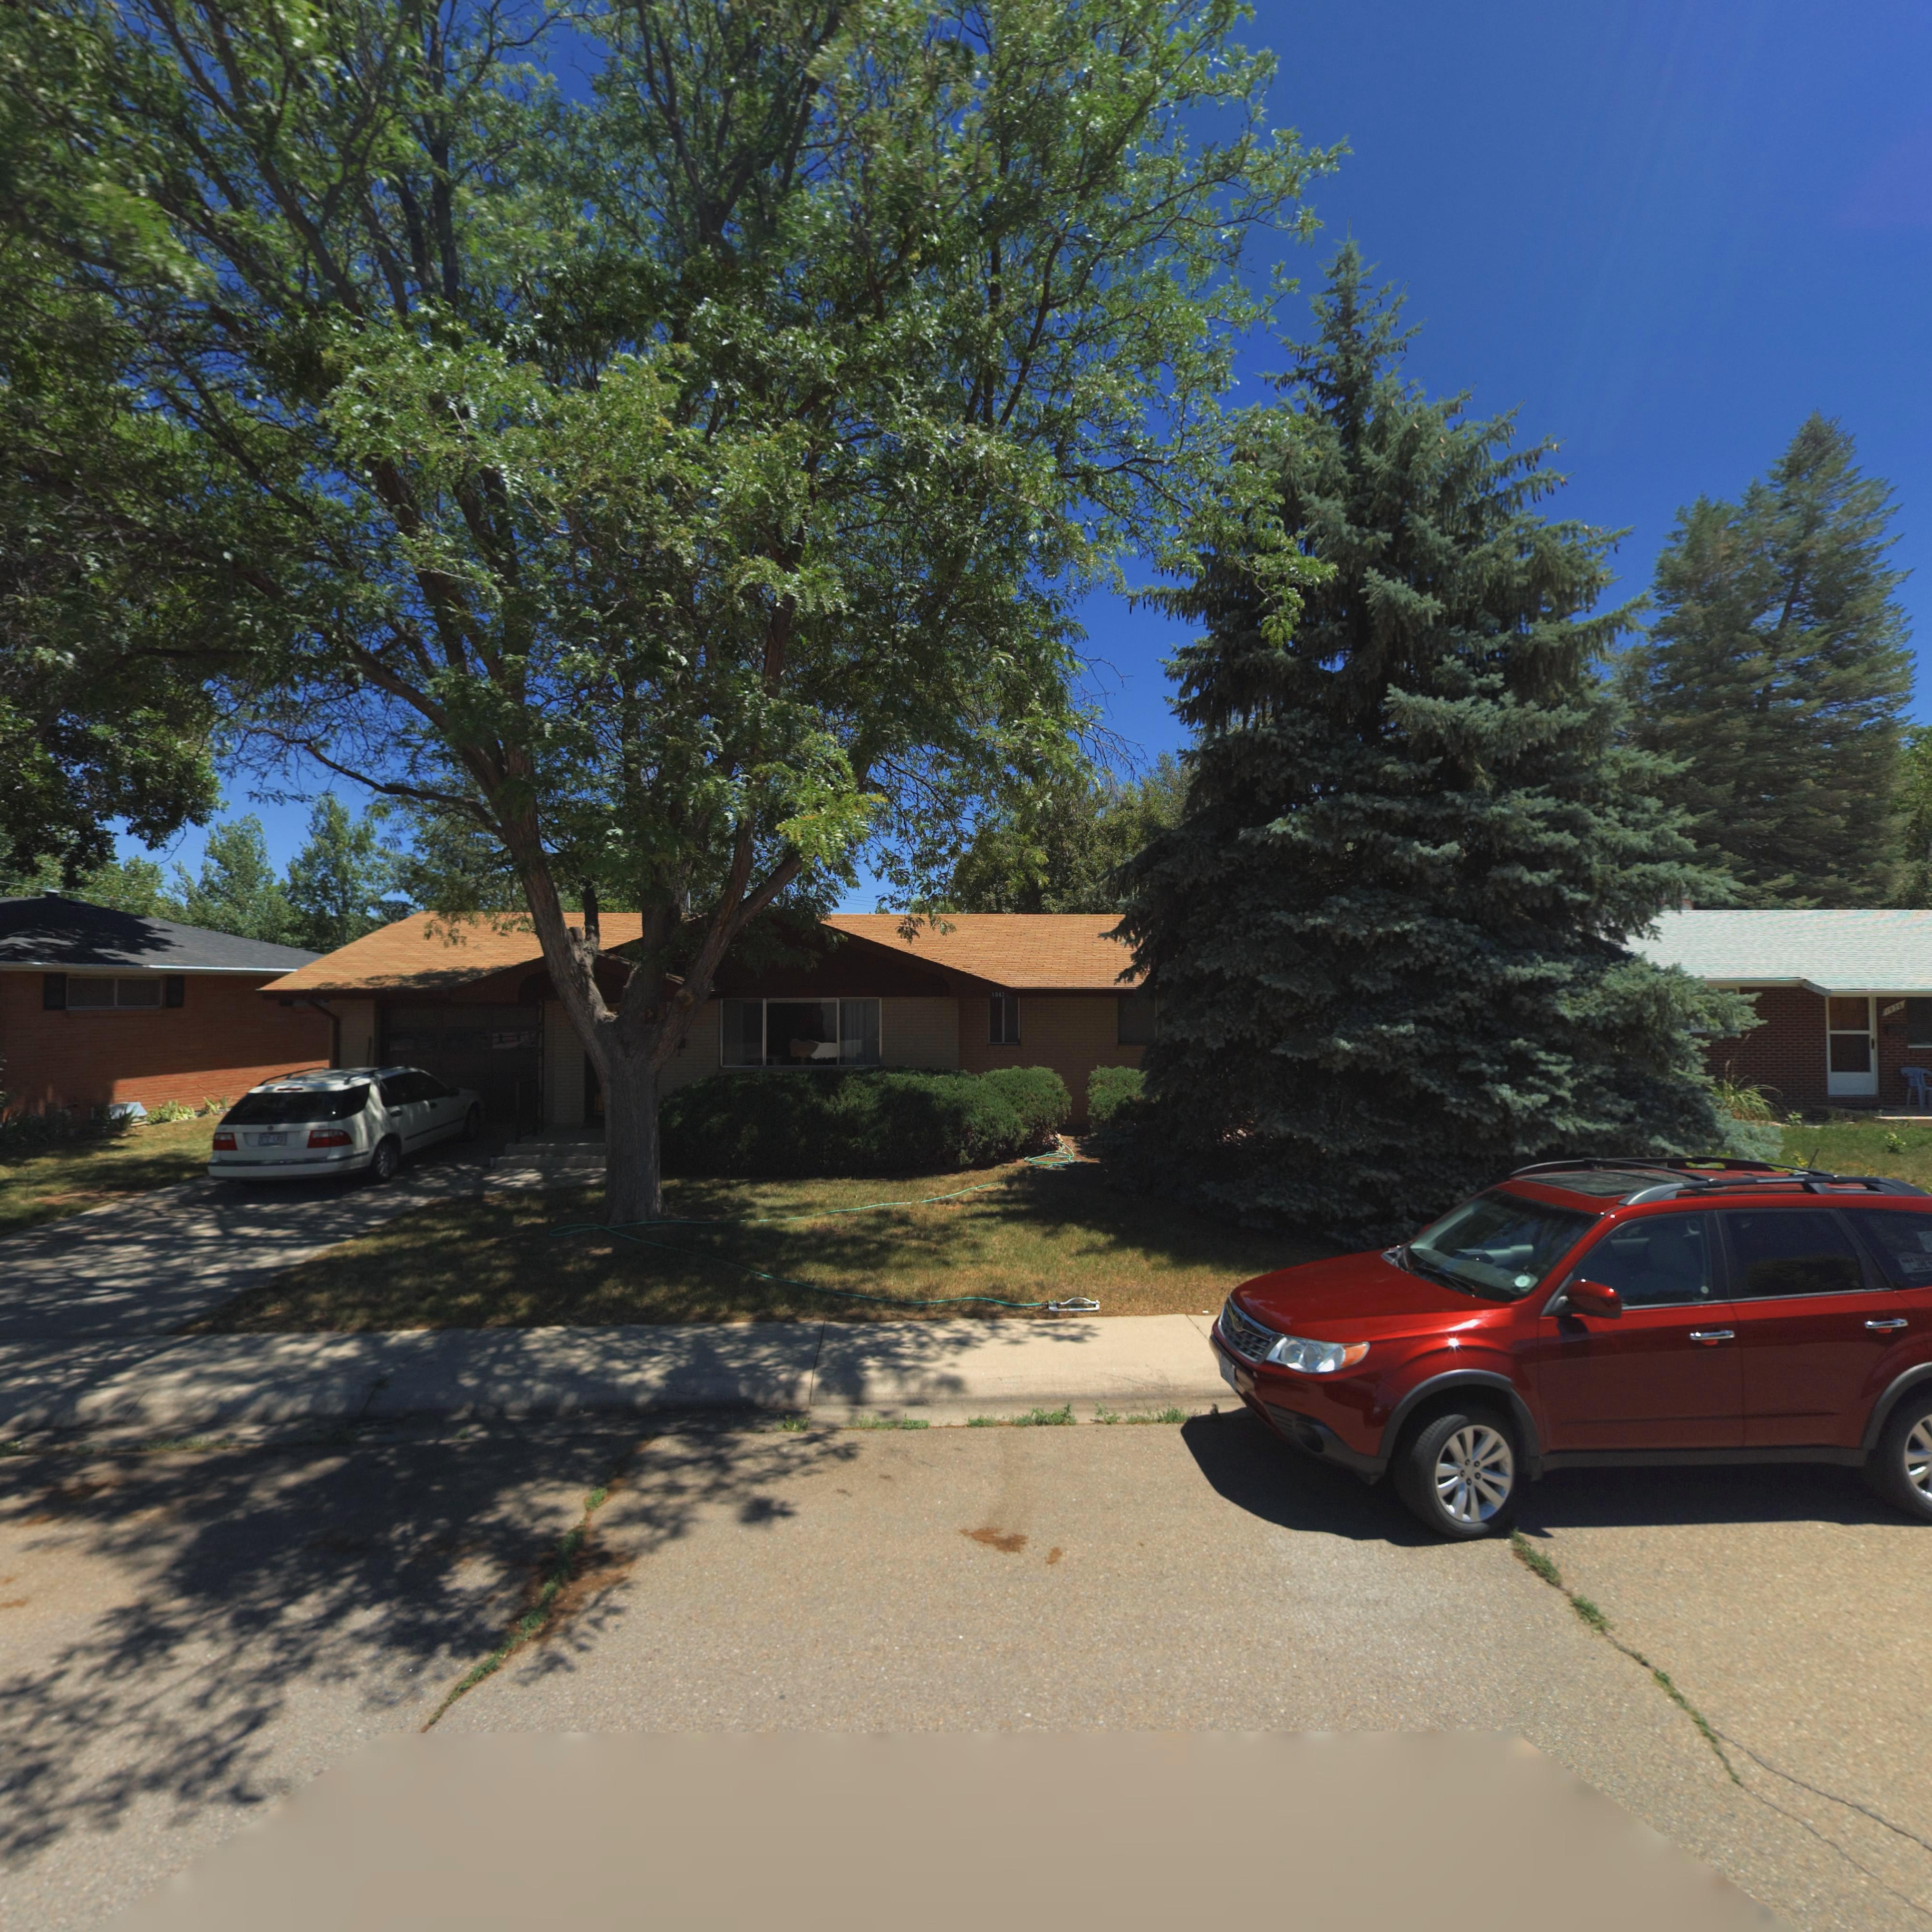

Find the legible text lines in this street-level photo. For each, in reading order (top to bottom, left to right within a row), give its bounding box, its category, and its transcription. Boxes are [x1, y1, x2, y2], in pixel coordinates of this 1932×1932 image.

[992, 992, 1005, 997] StreetNumber: 1842
[1886, 1002, 1902, 1014] StreetNumber: 18**